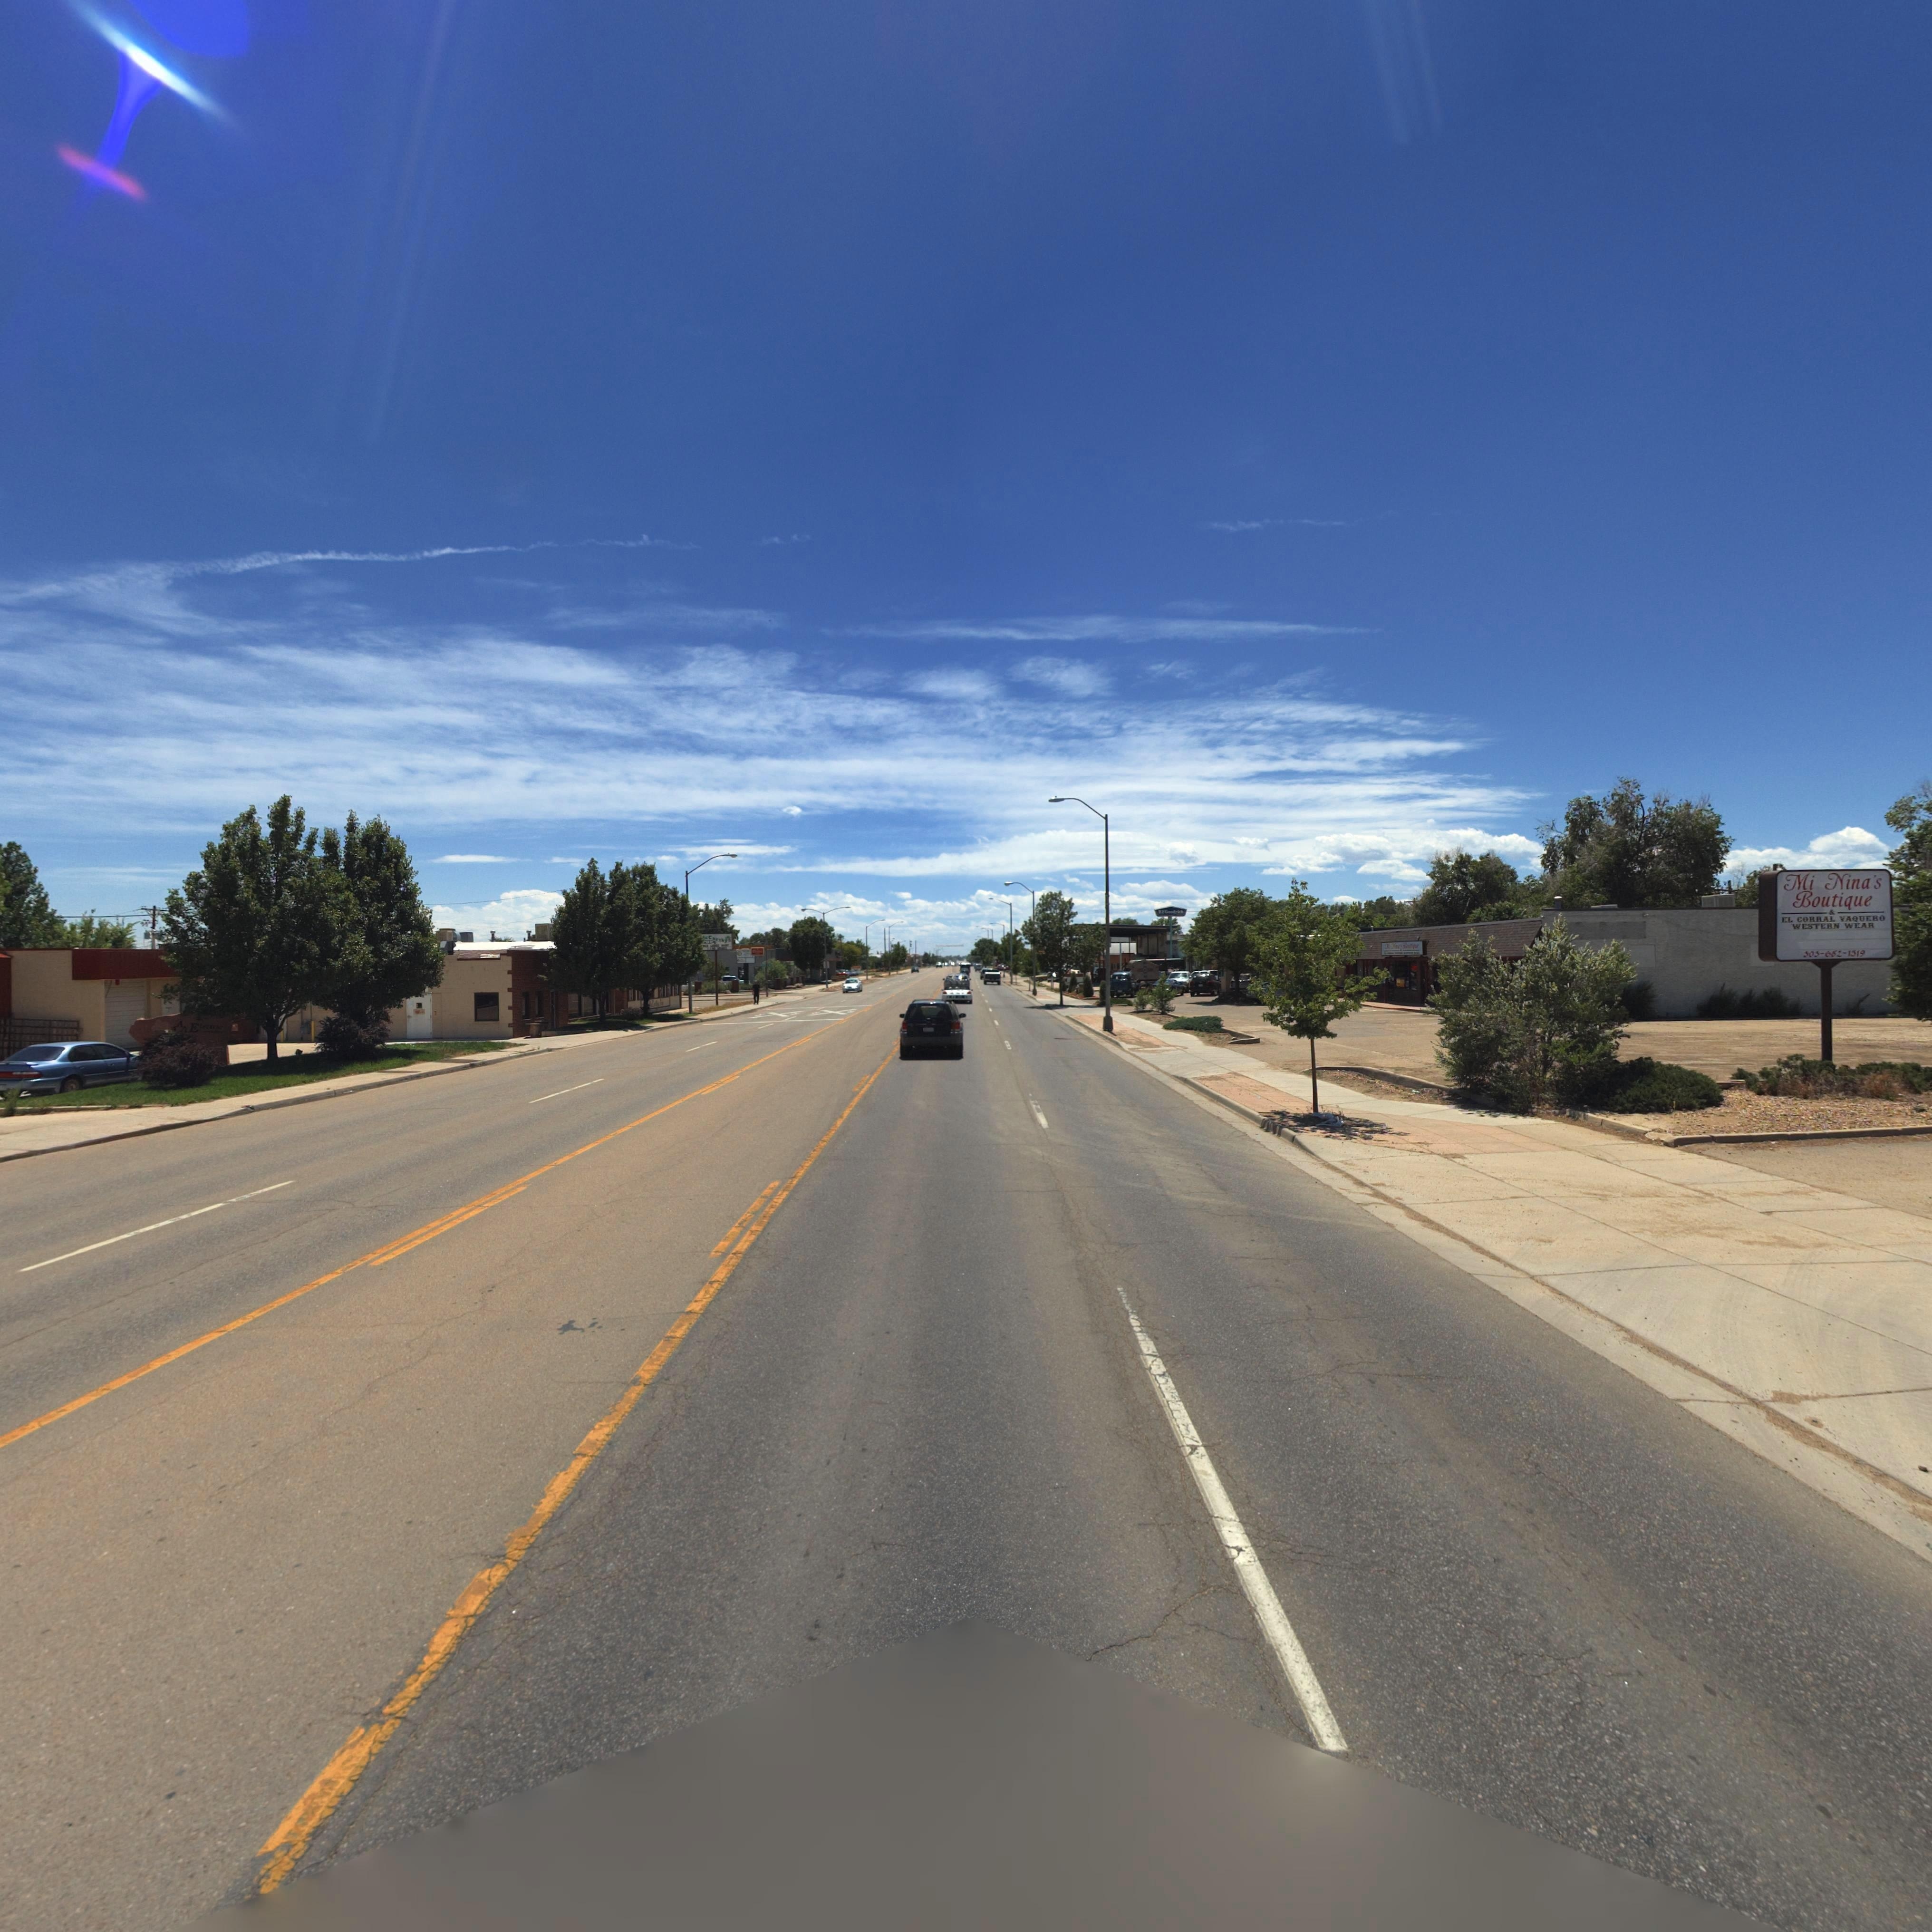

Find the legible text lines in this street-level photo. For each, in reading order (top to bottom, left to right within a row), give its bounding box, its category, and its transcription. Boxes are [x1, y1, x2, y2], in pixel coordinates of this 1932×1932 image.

[1783, 872, 1882, 891] BusinessName: Mi Nina's
[1791, 890, 1873, 910] BusinessName: Boutique
[703, 934, 728, 944] BusinessName: *C**rby
[1383, 941, 1419, 950] BusinessName: M* N*** B****